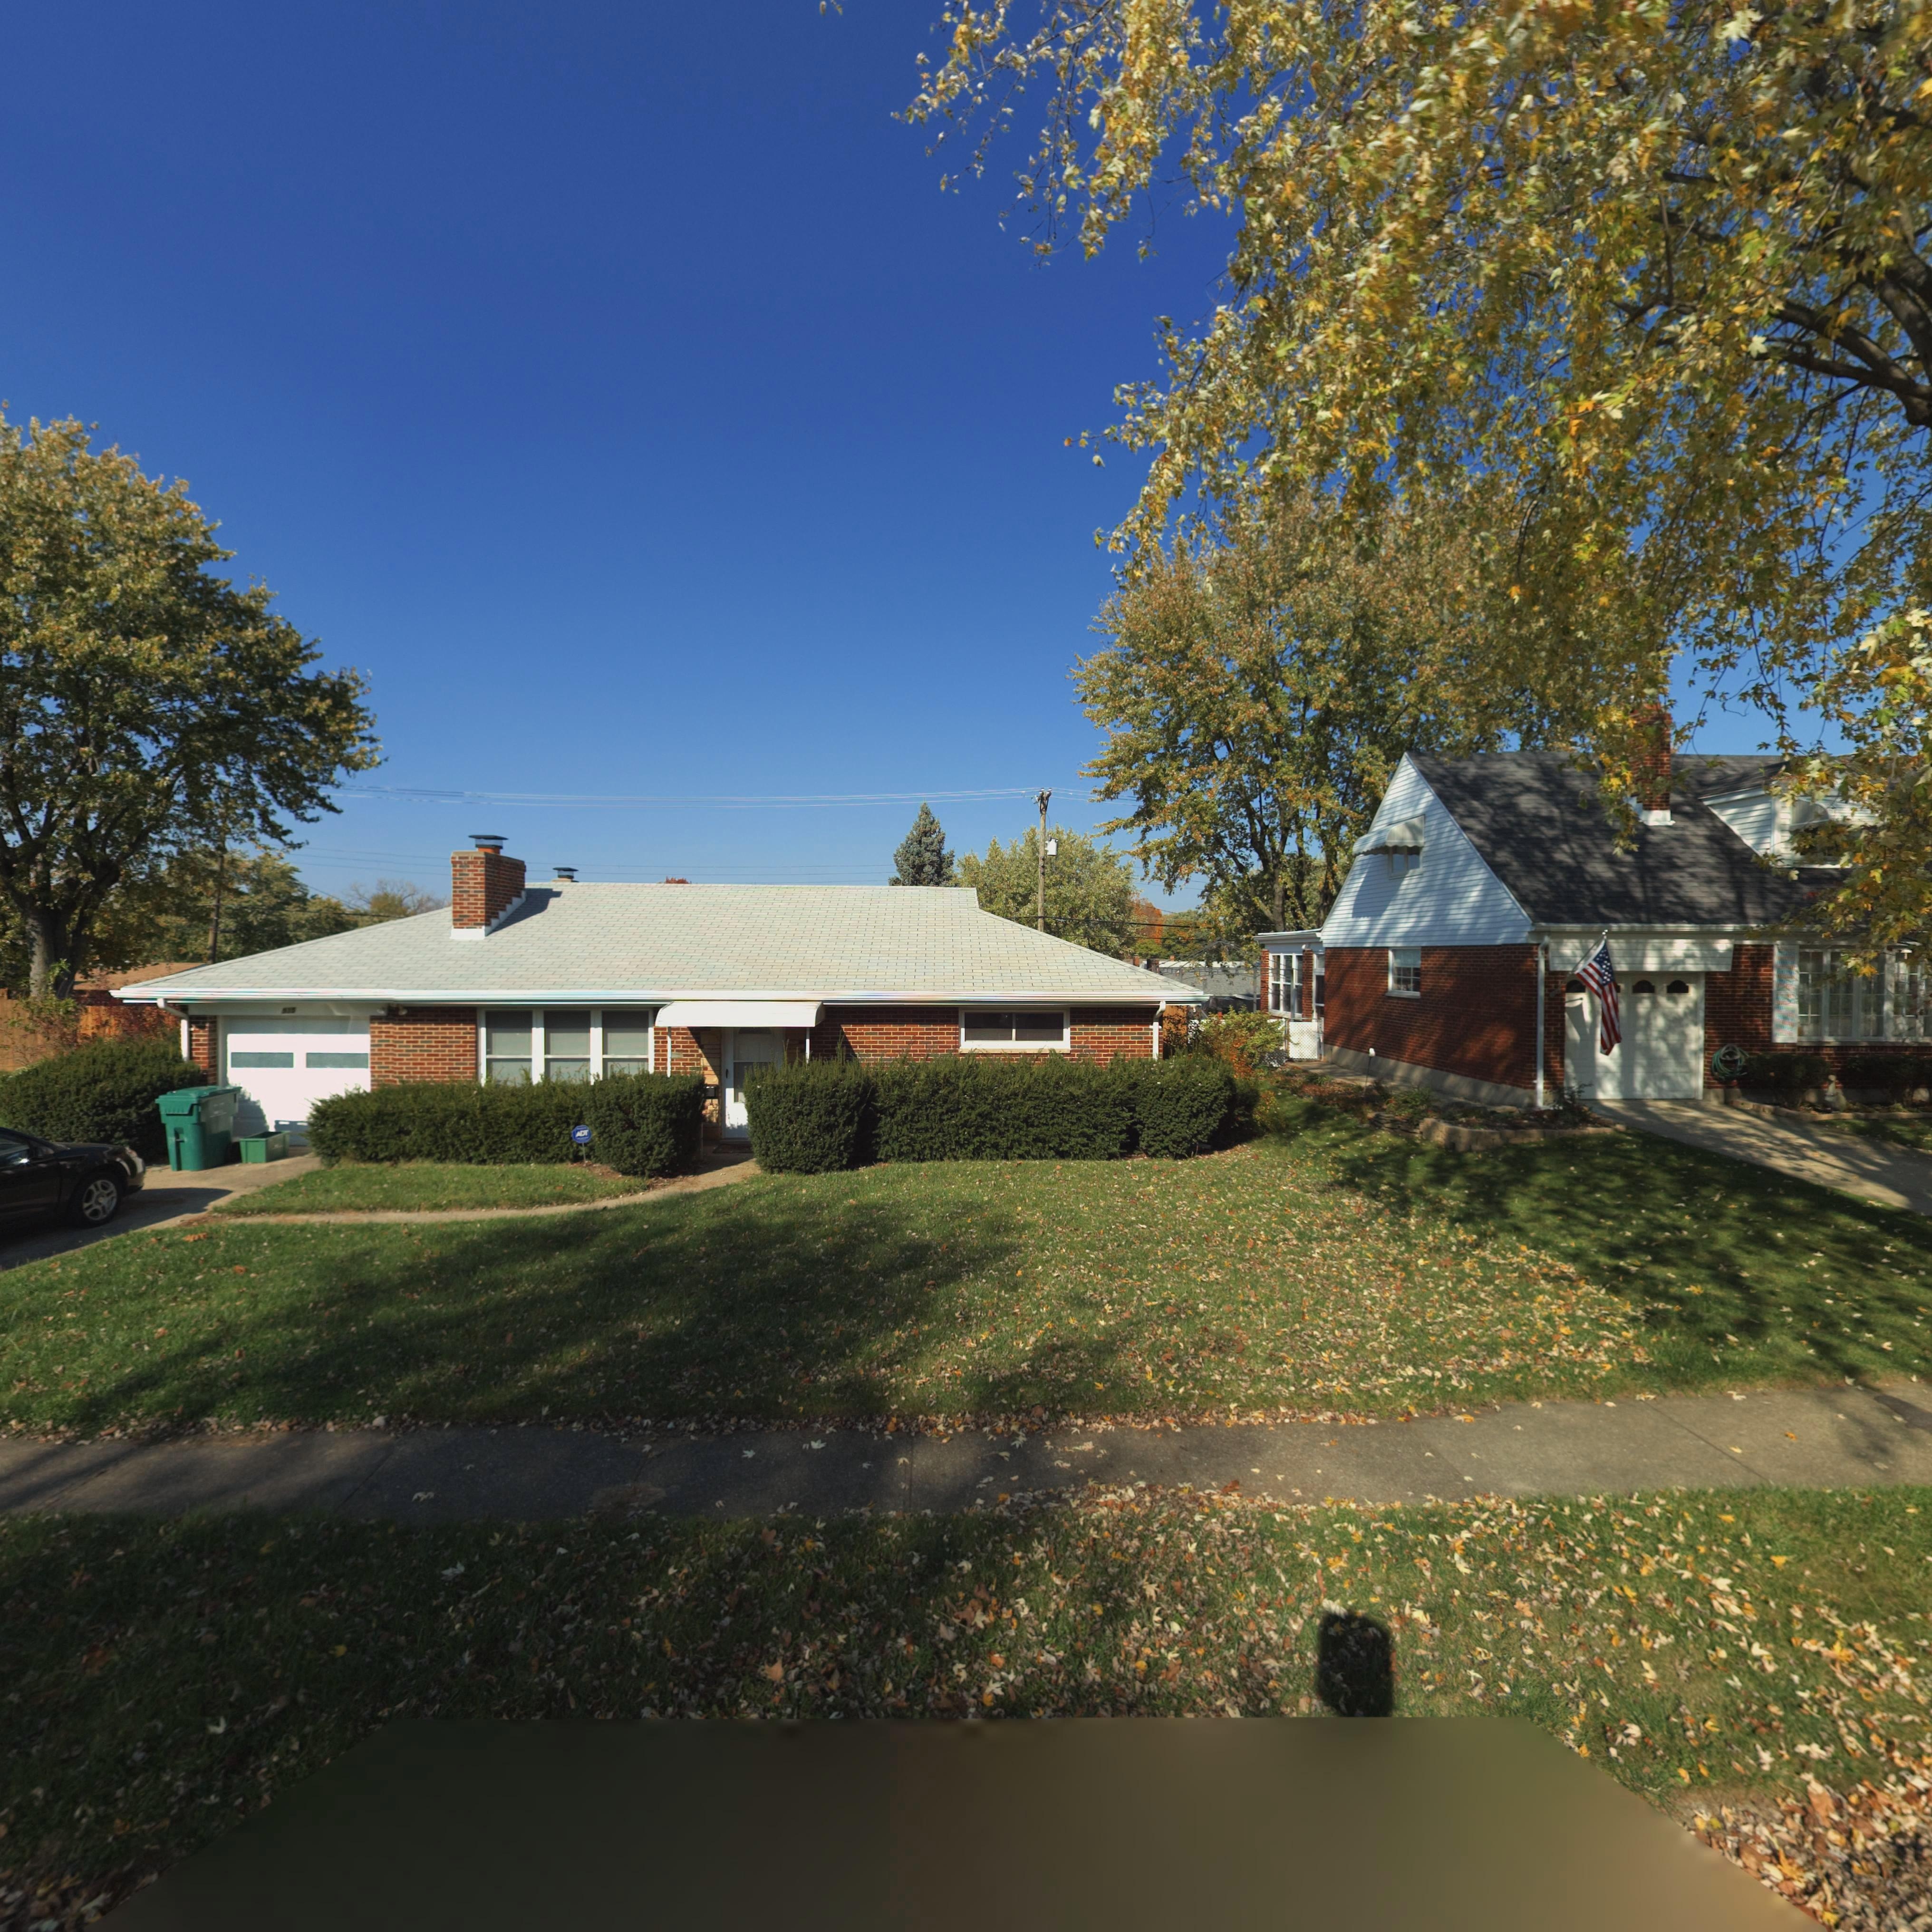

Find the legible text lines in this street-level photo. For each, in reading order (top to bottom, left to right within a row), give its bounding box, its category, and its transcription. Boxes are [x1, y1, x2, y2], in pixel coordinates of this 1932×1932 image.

[281, 1007, 297, 1014] StreetNumber: *35
[575, 1129, 589, 1138] None: ADT